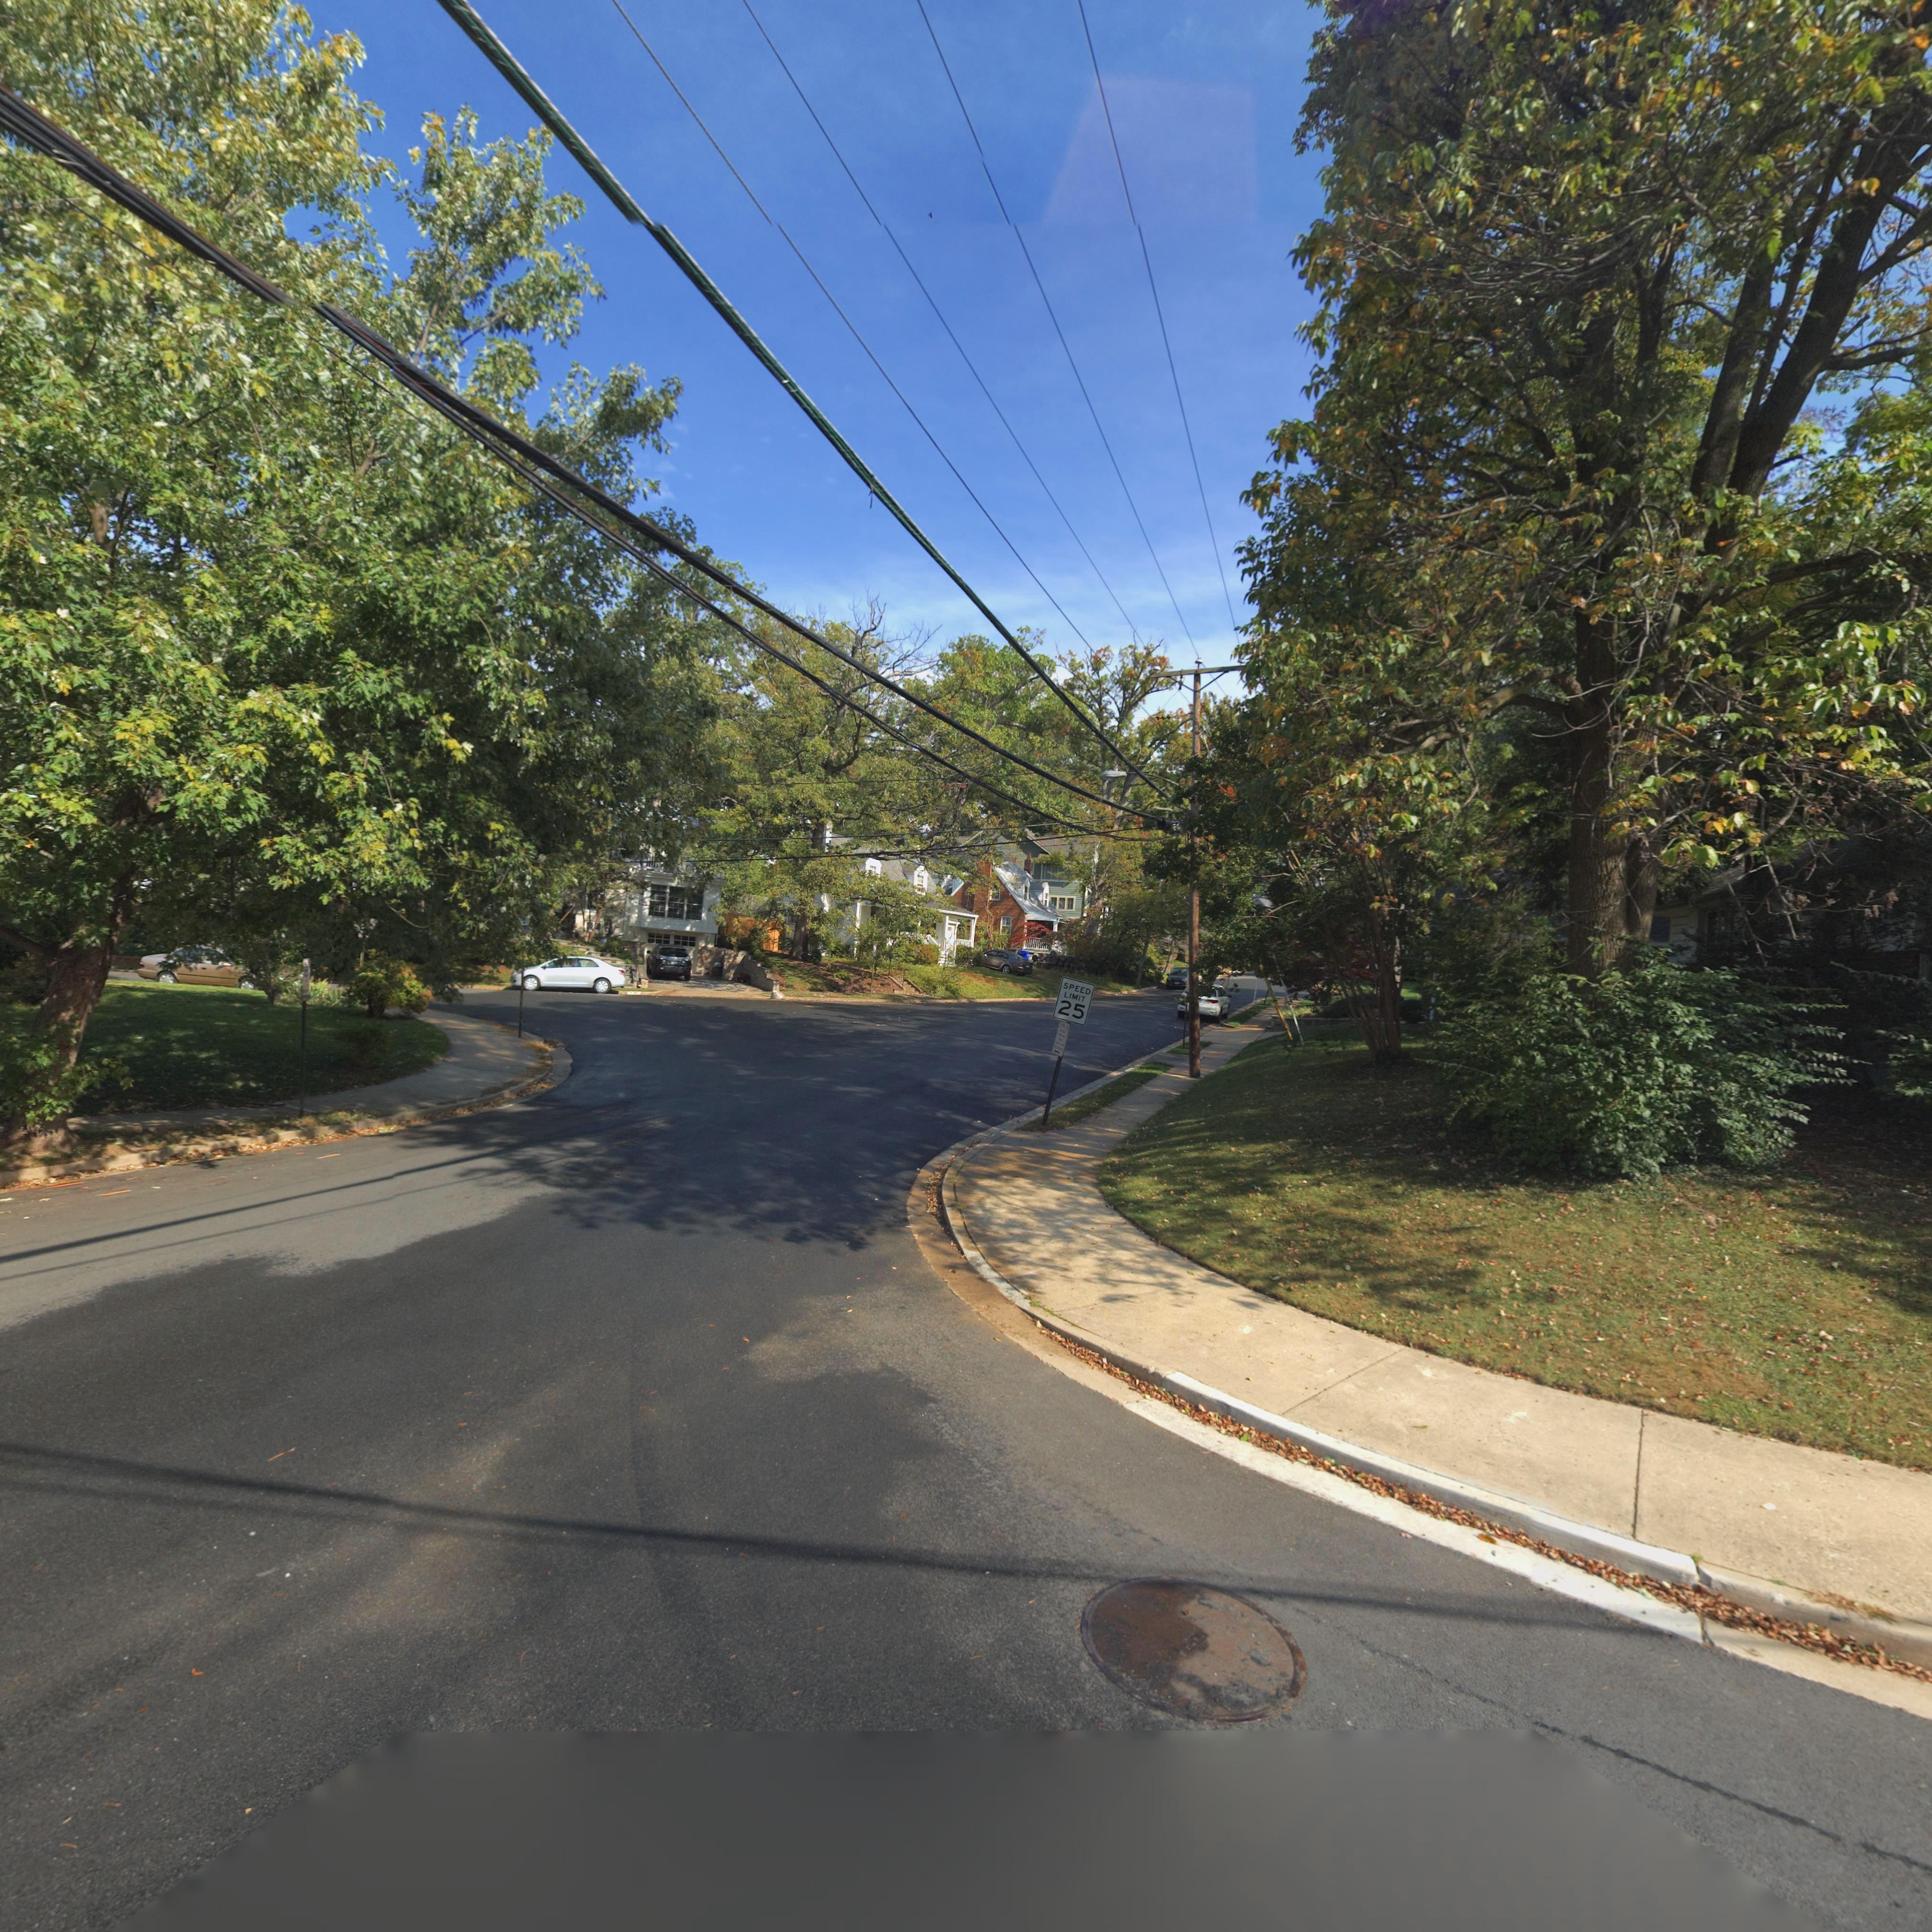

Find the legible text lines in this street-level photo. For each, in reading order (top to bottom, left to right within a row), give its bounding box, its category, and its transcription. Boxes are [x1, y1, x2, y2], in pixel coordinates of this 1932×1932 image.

[1062, 981, 1092, 996] None: SPEED
[1063, 989, 1087, 1004] None: LIMIT
[1055, 998, 1087, 1022] None: 25